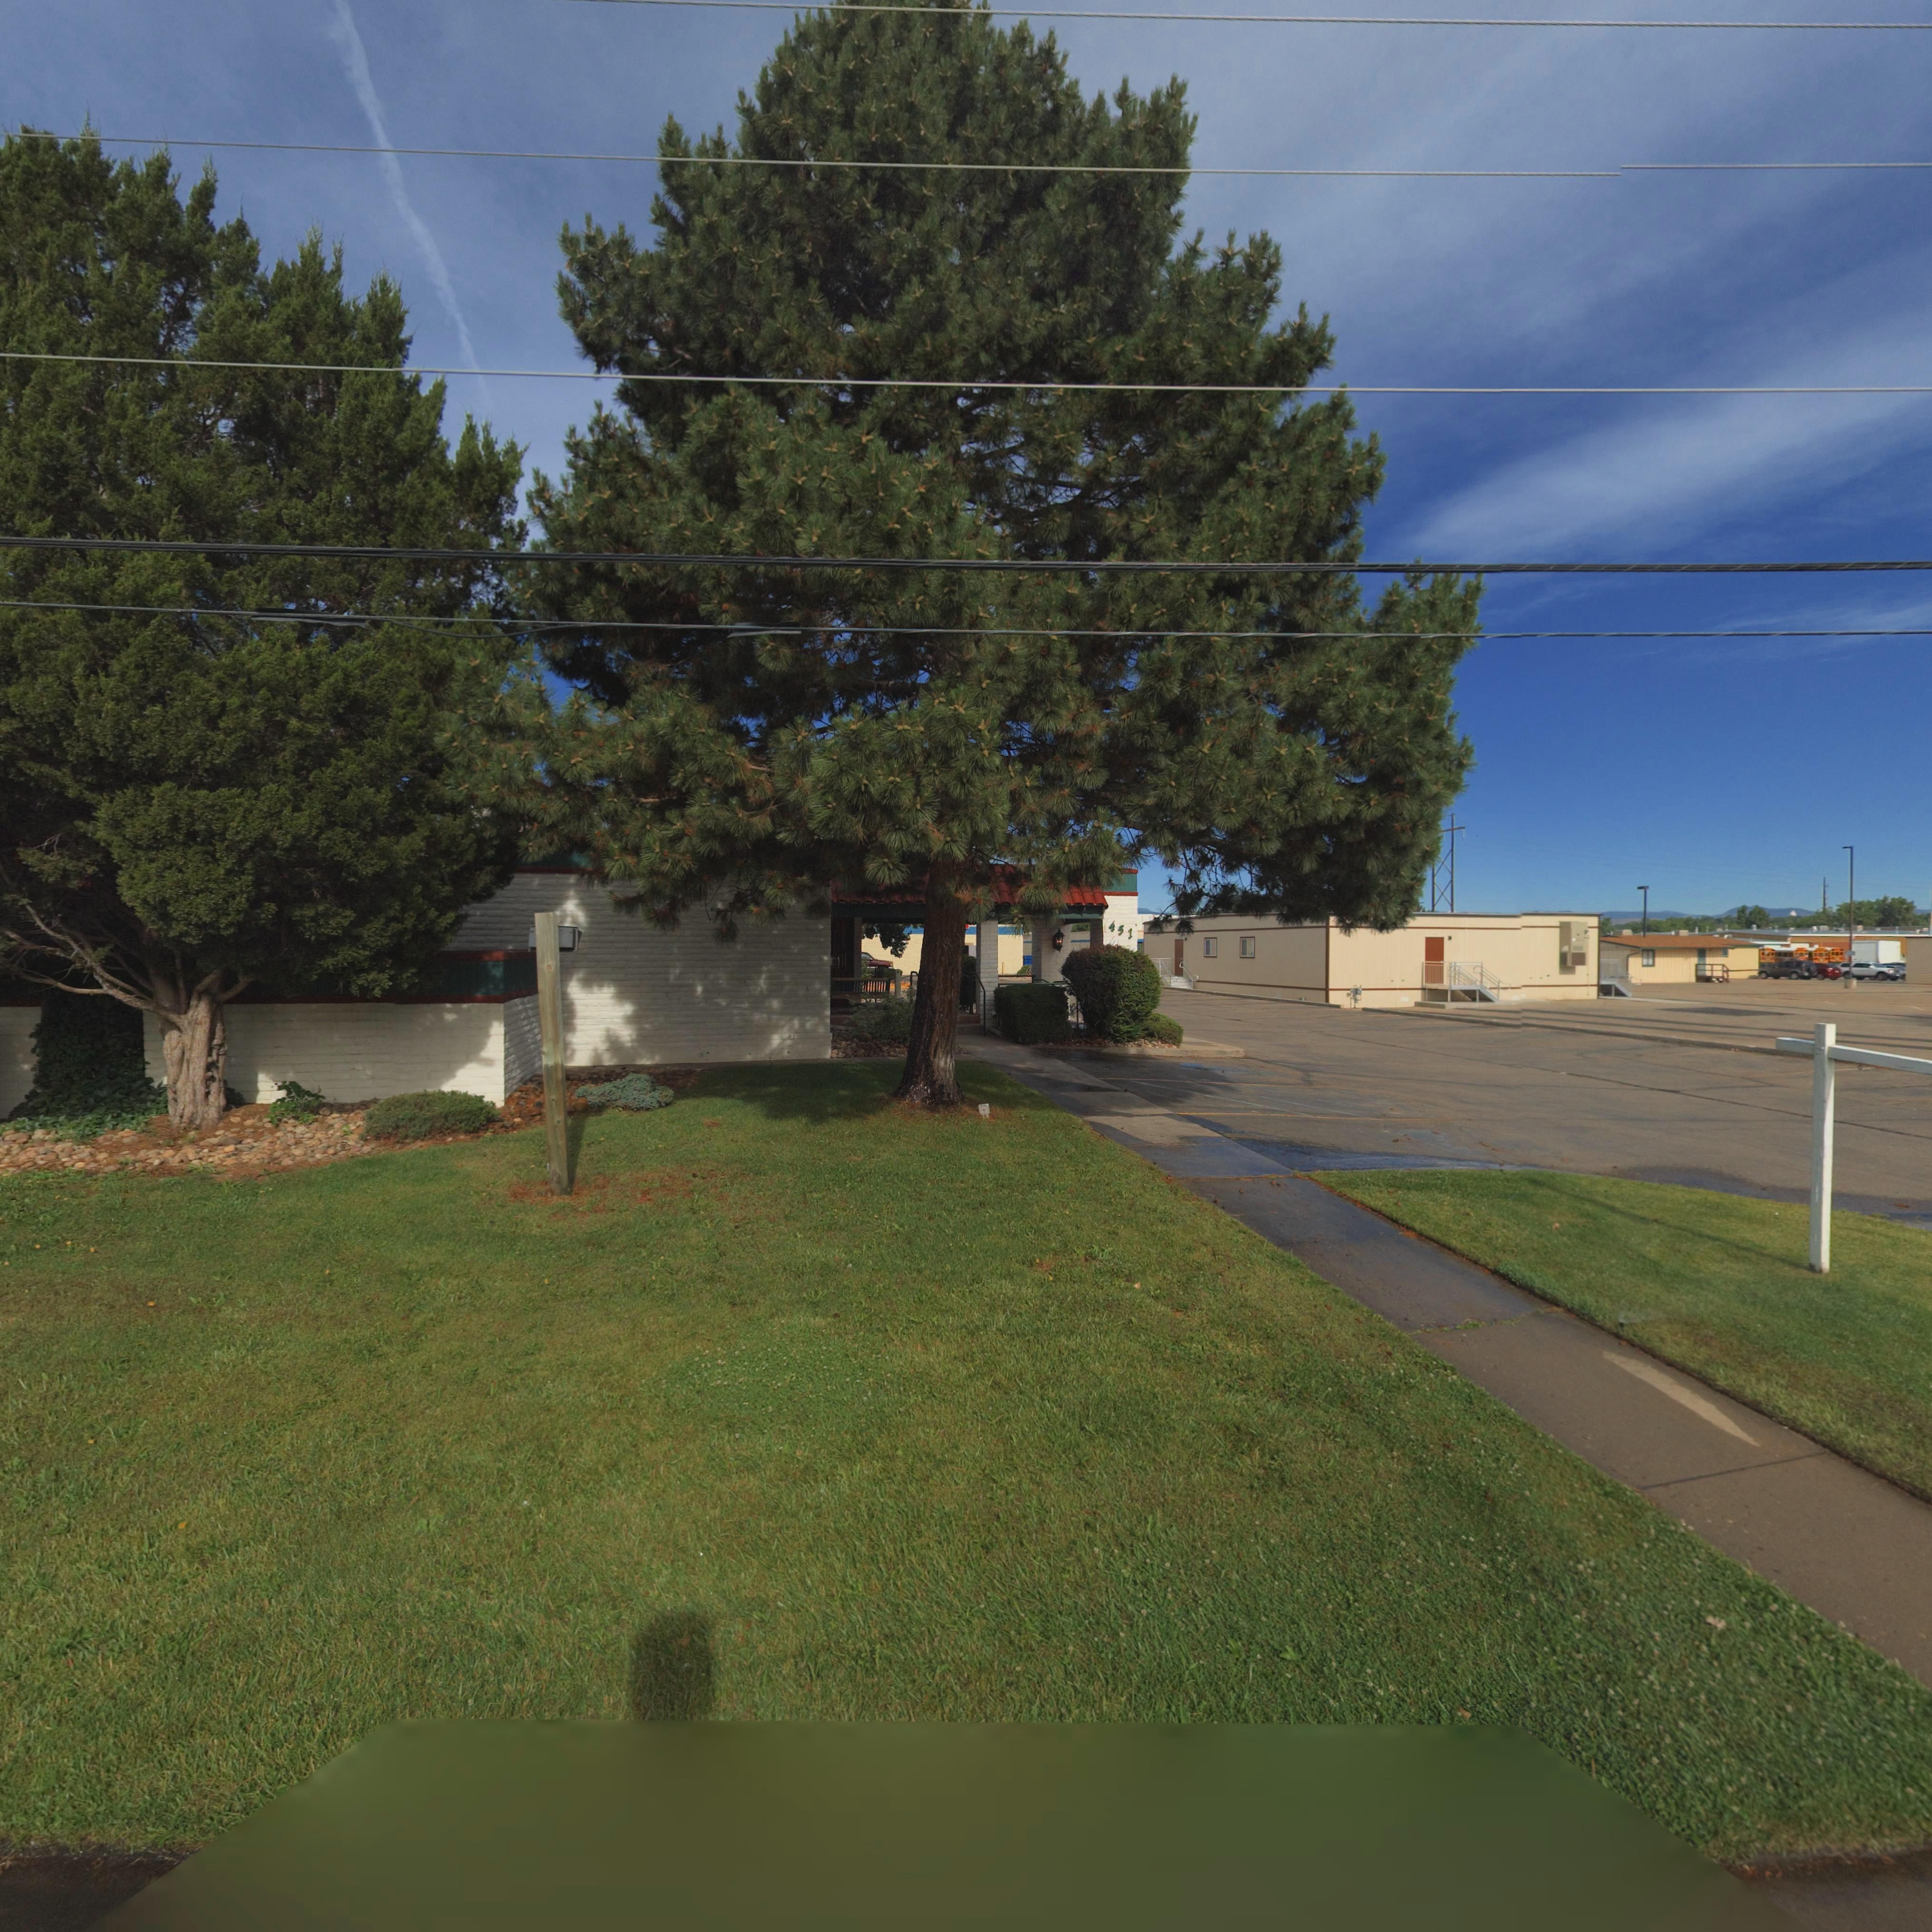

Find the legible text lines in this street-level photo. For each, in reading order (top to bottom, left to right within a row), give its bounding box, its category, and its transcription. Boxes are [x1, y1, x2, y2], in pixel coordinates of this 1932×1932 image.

[1108, 919, 1132, 940] StreetNumber: 451